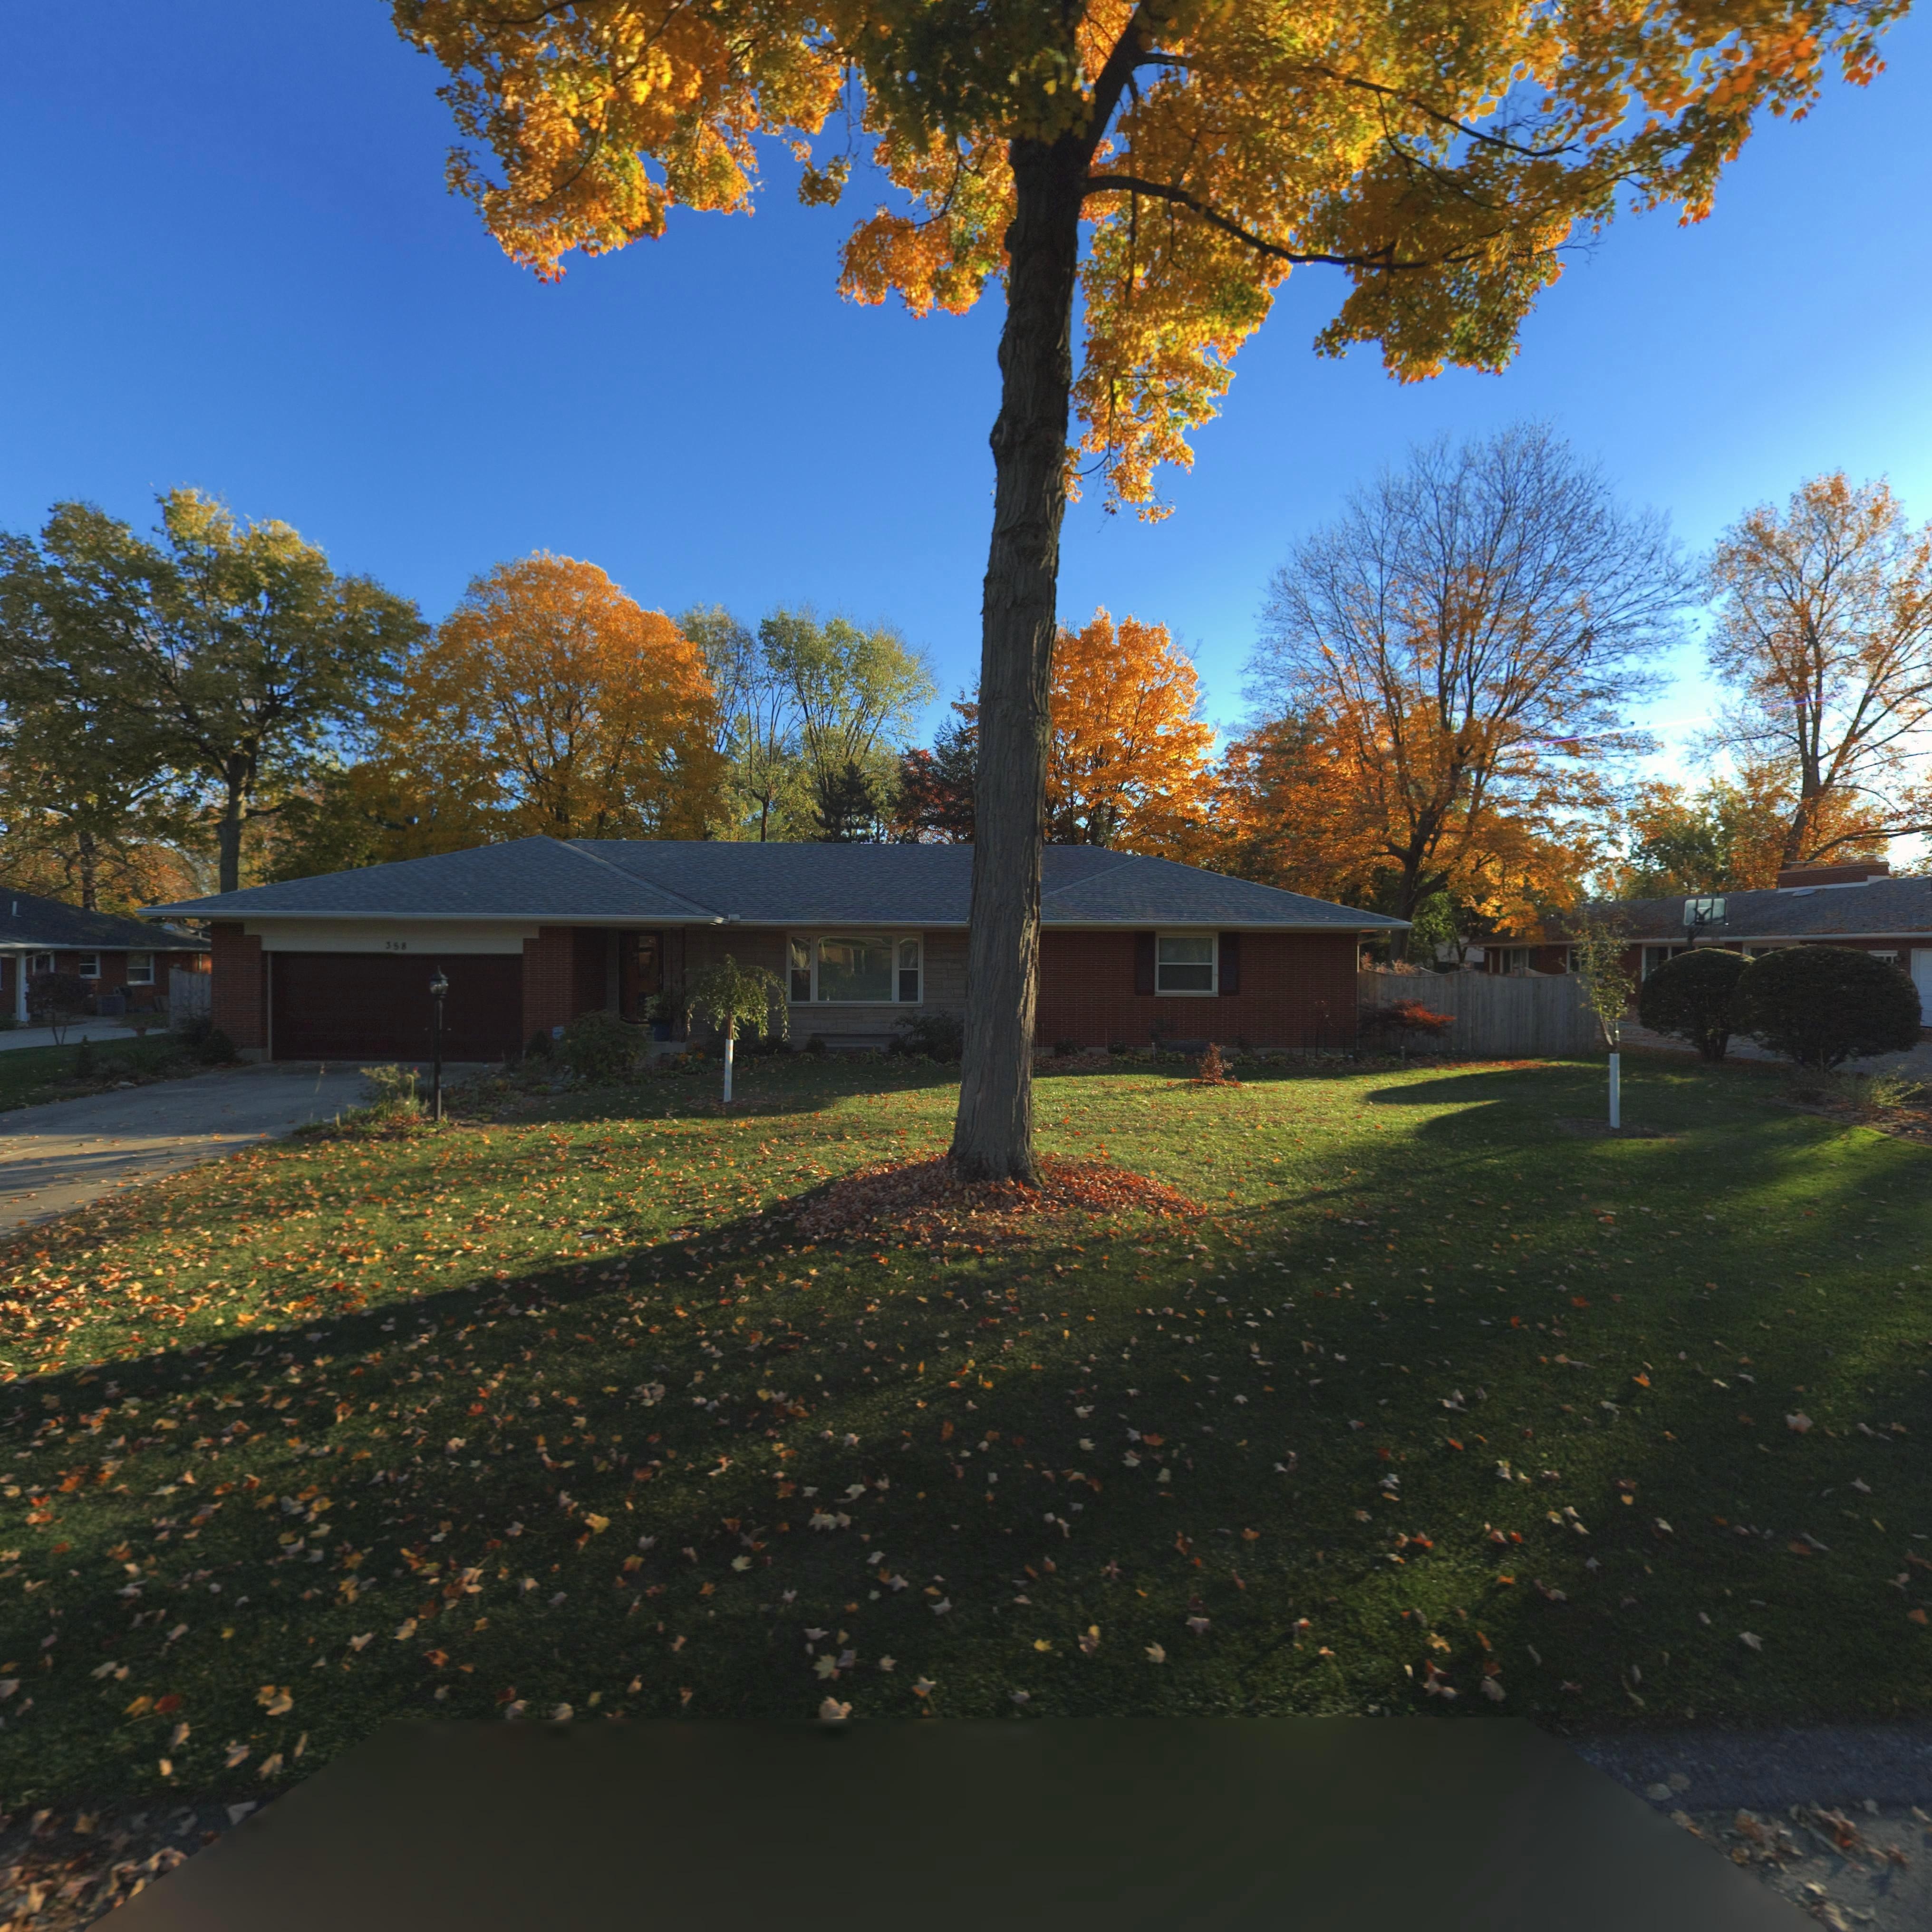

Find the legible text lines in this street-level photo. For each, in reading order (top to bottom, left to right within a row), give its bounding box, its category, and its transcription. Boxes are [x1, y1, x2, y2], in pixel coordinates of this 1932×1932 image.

[385, 940, 407, 951] StreetNumber: 358